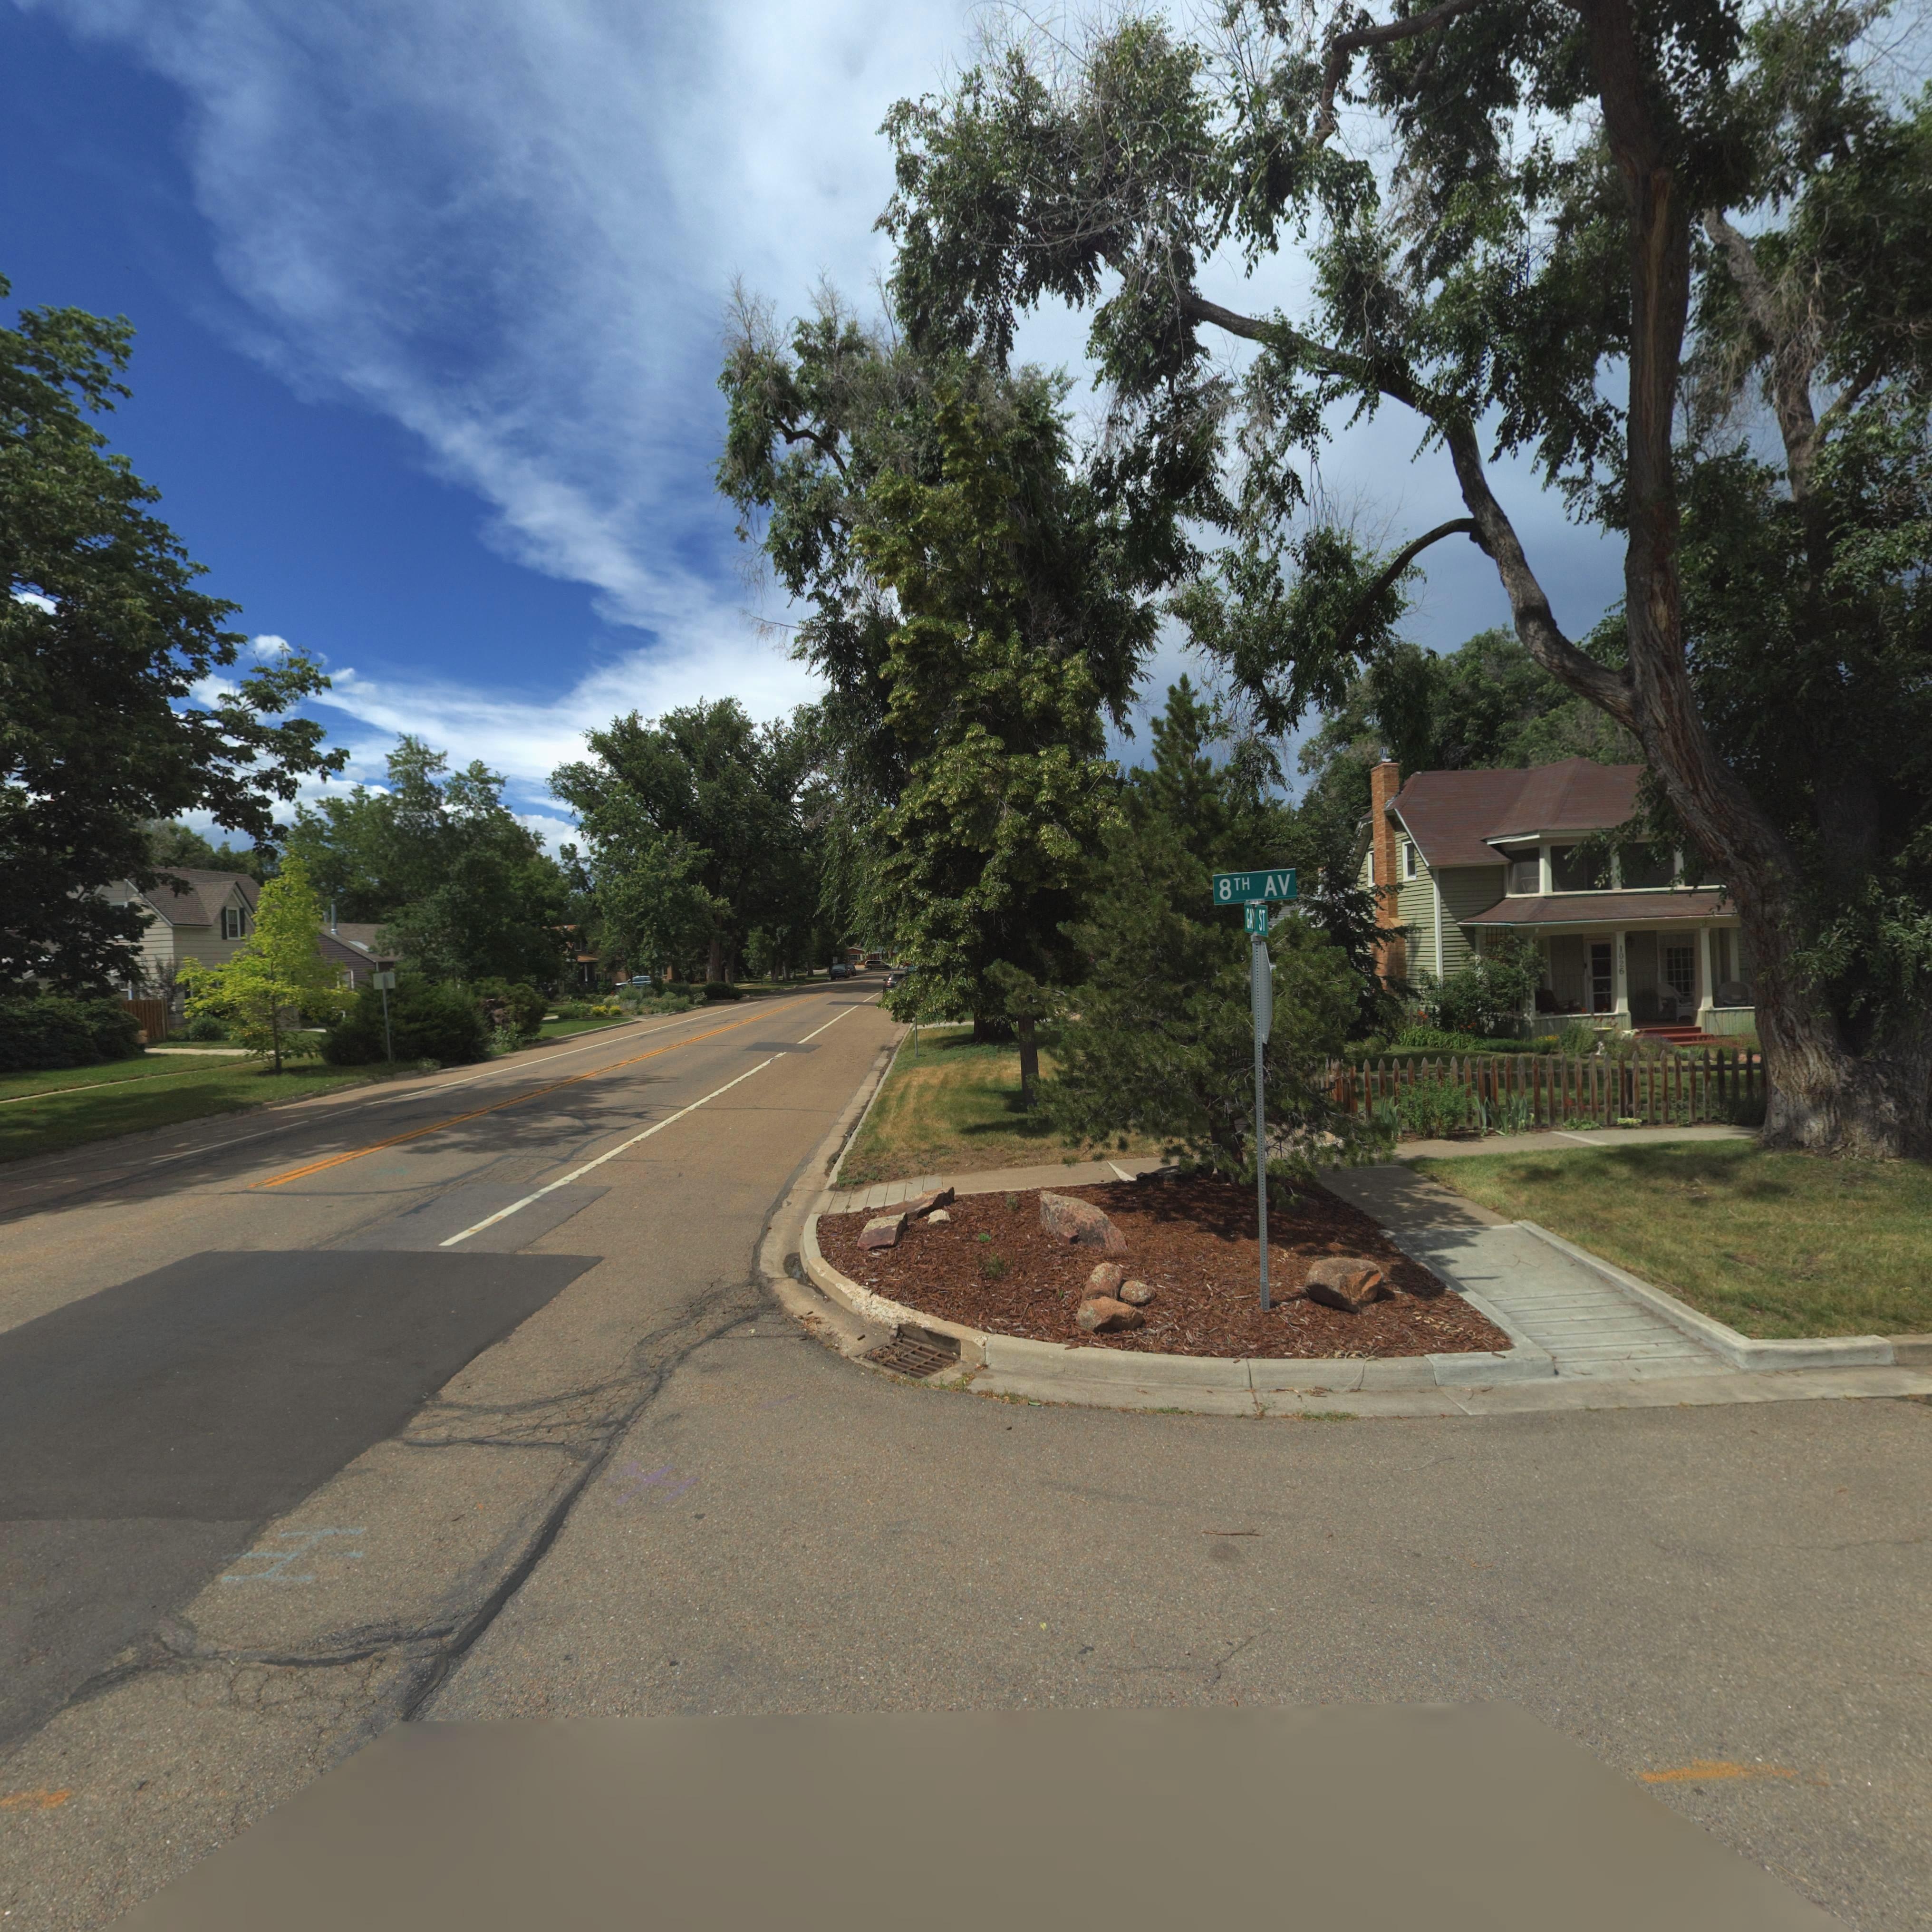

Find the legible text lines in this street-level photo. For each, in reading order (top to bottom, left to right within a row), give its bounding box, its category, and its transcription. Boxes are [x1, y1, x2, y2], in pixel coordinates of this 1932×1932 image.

[1218, 873, 1291, 900] StreetName: 8TH AV
[1246, 907, 1265, 932] StreetName: GAY ST
[1618, 944, 1624, 975] StreetNumber: 1026